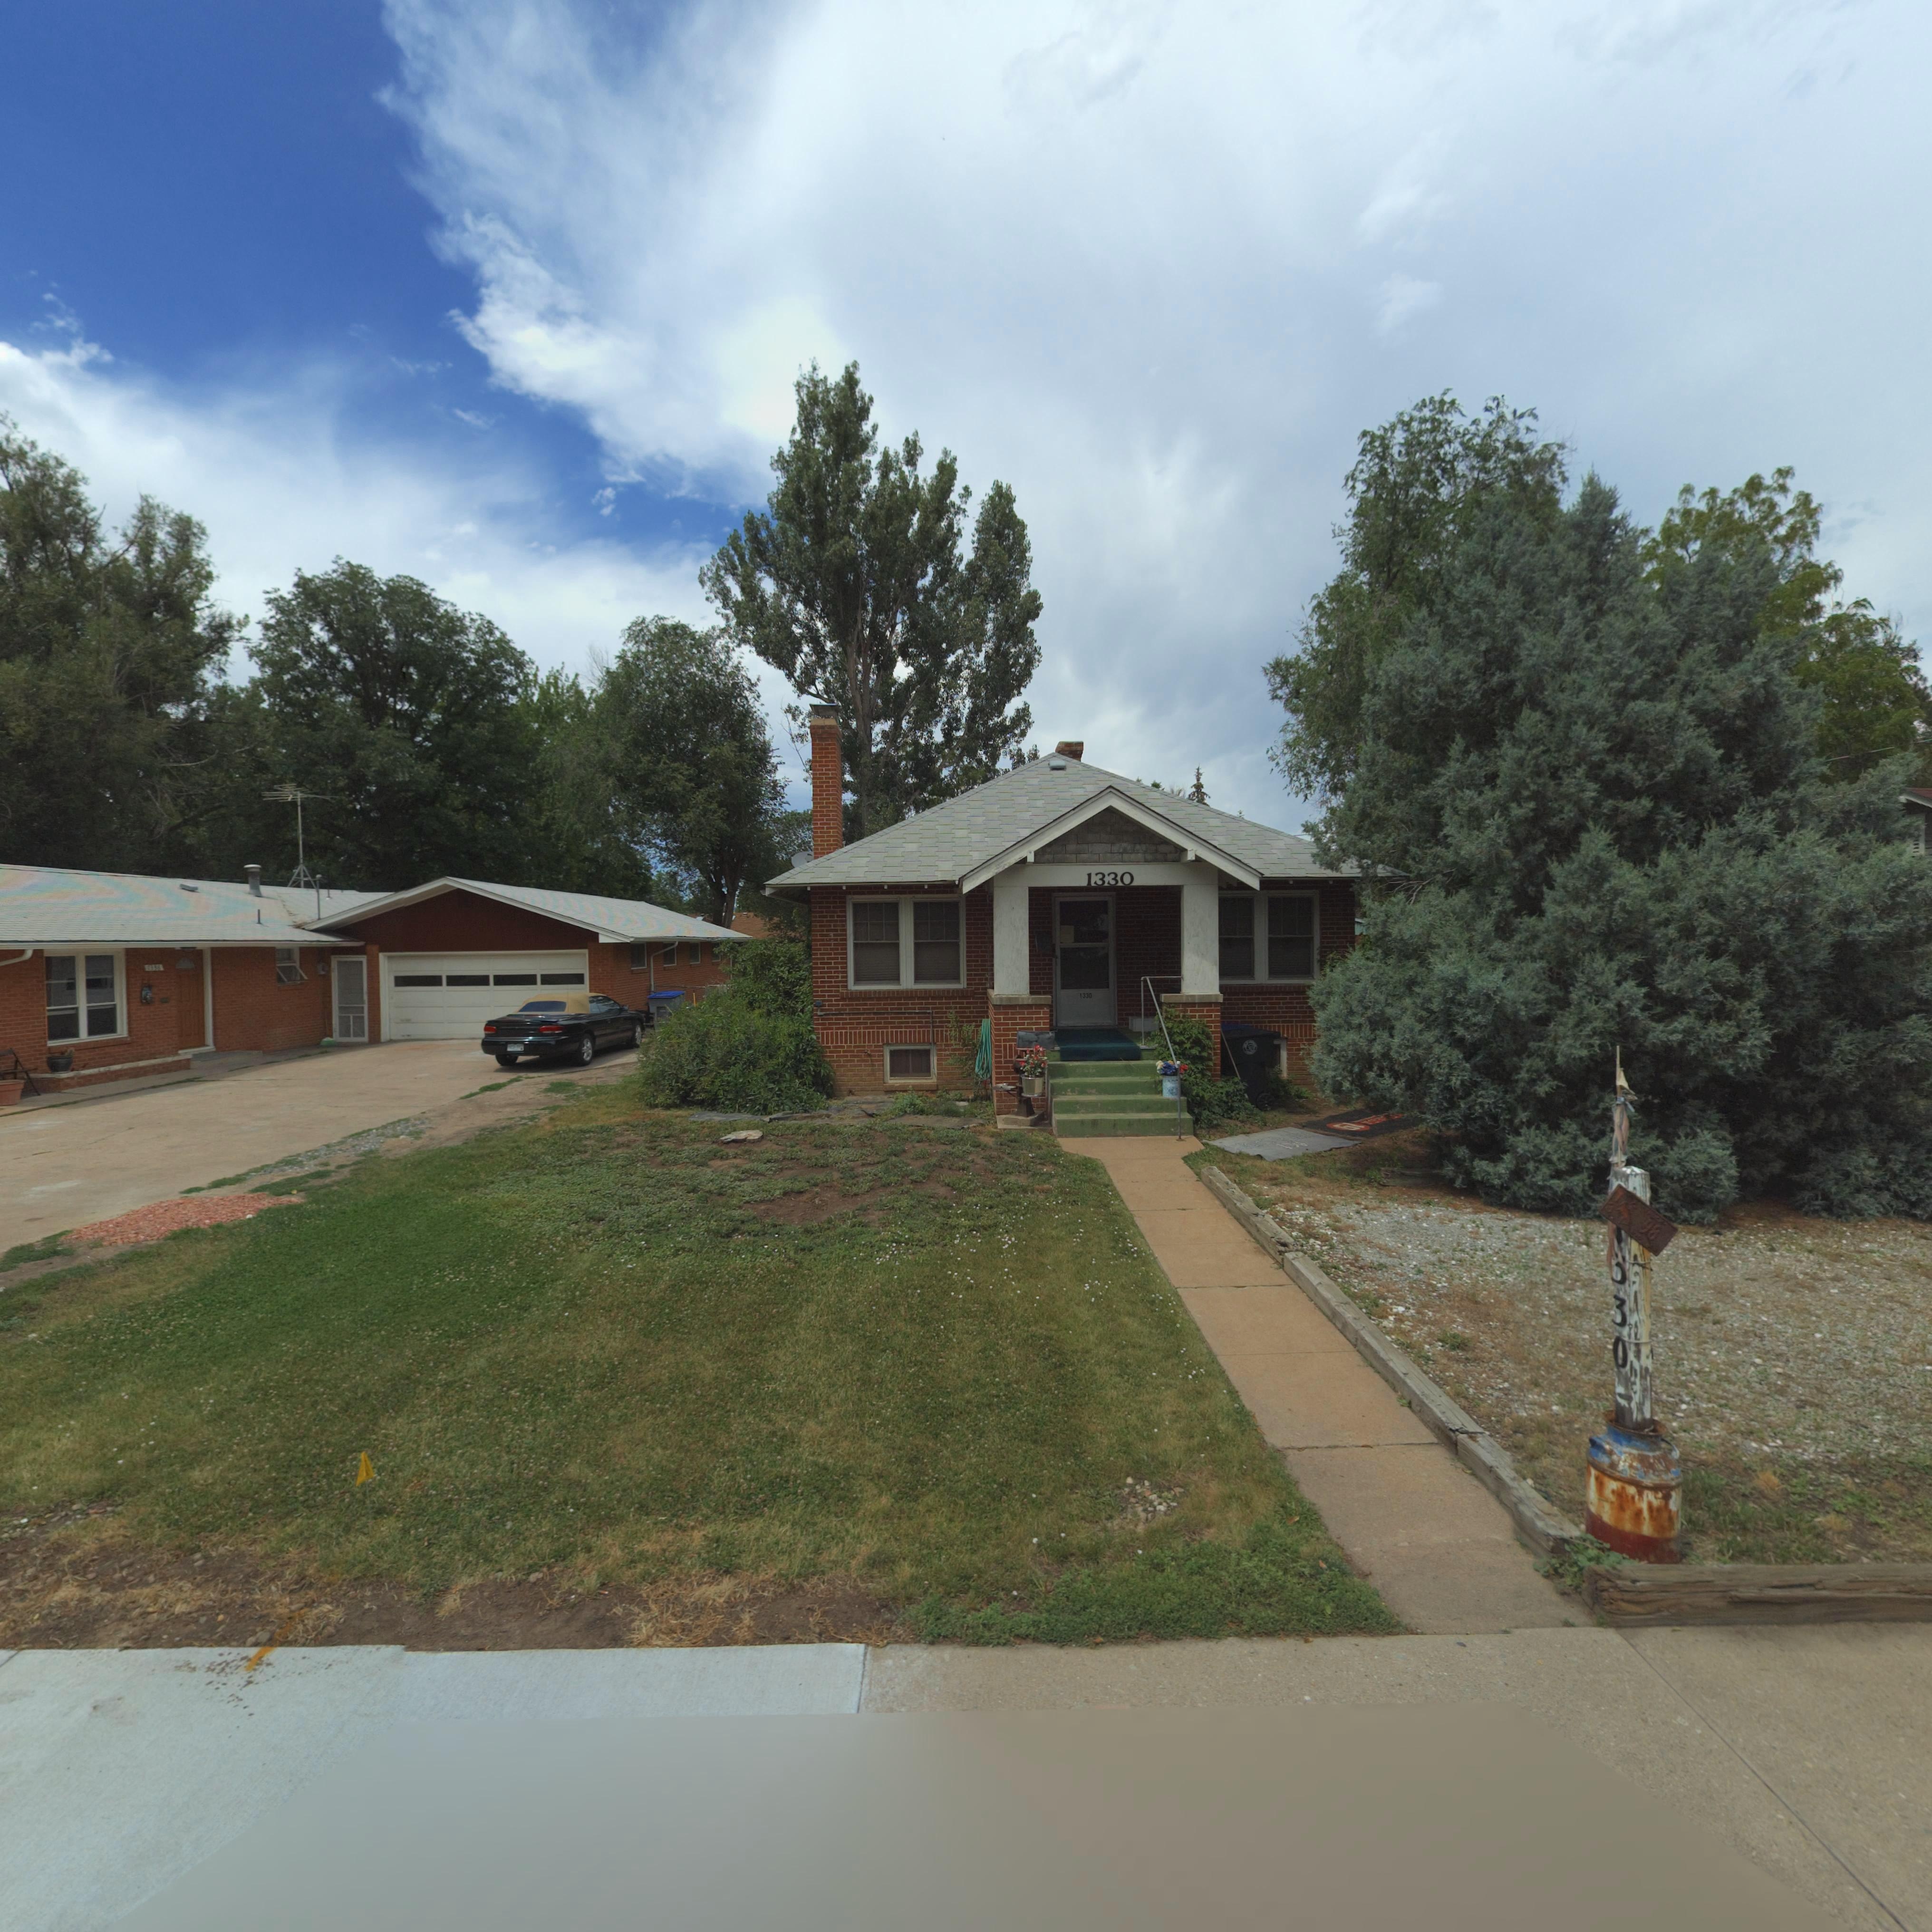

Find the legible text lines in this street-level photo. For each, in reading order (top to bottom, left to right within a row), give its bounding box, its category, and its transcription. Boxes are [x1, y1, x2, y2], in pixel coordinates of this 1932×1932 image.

[1084, 870, 1135, 887] StreetNumber: 1330
[147, 964, 162, 971] StreetNumber: 1338
[1080, 992, 1092, 999] StreetNumber: 1330
[1610, 1221, 1629, 1369] StreetNumber: *330